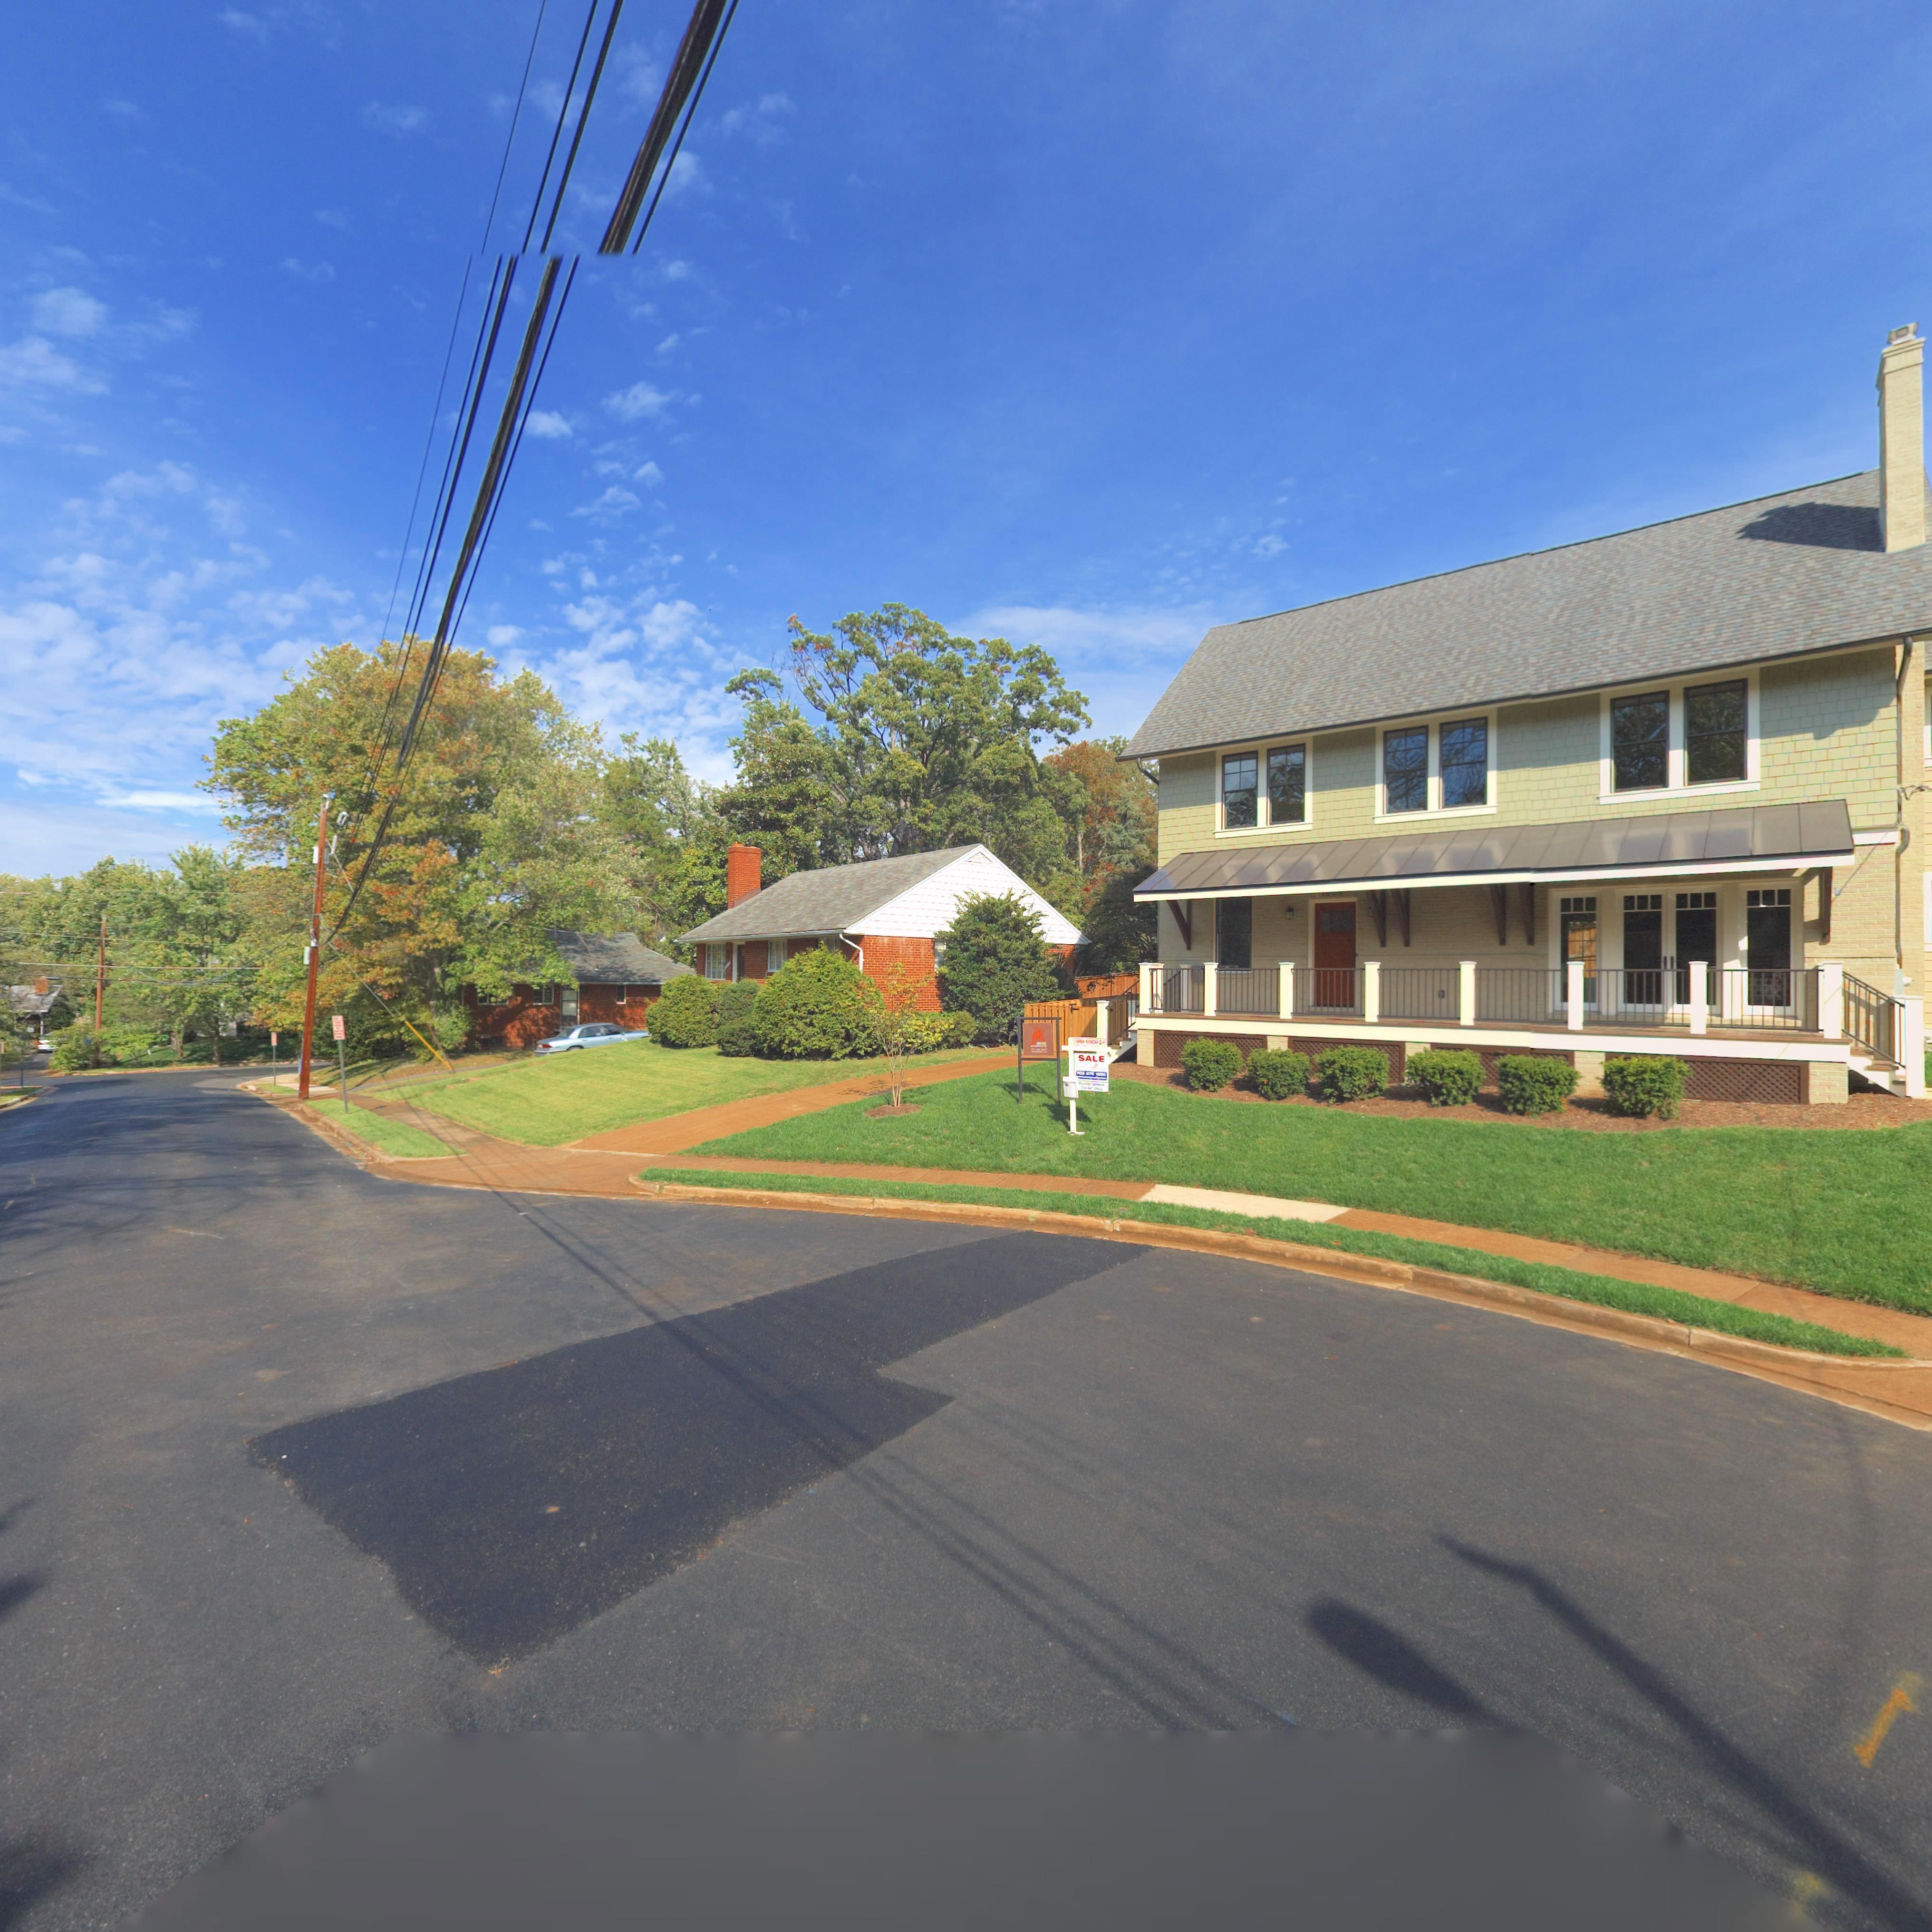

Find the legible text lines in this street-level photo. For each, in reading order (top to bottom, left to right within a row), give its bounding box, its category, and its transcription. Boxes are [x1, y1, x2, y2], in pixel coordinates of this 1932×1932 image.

[1077, 1053, 1106, 1063] None: SALE